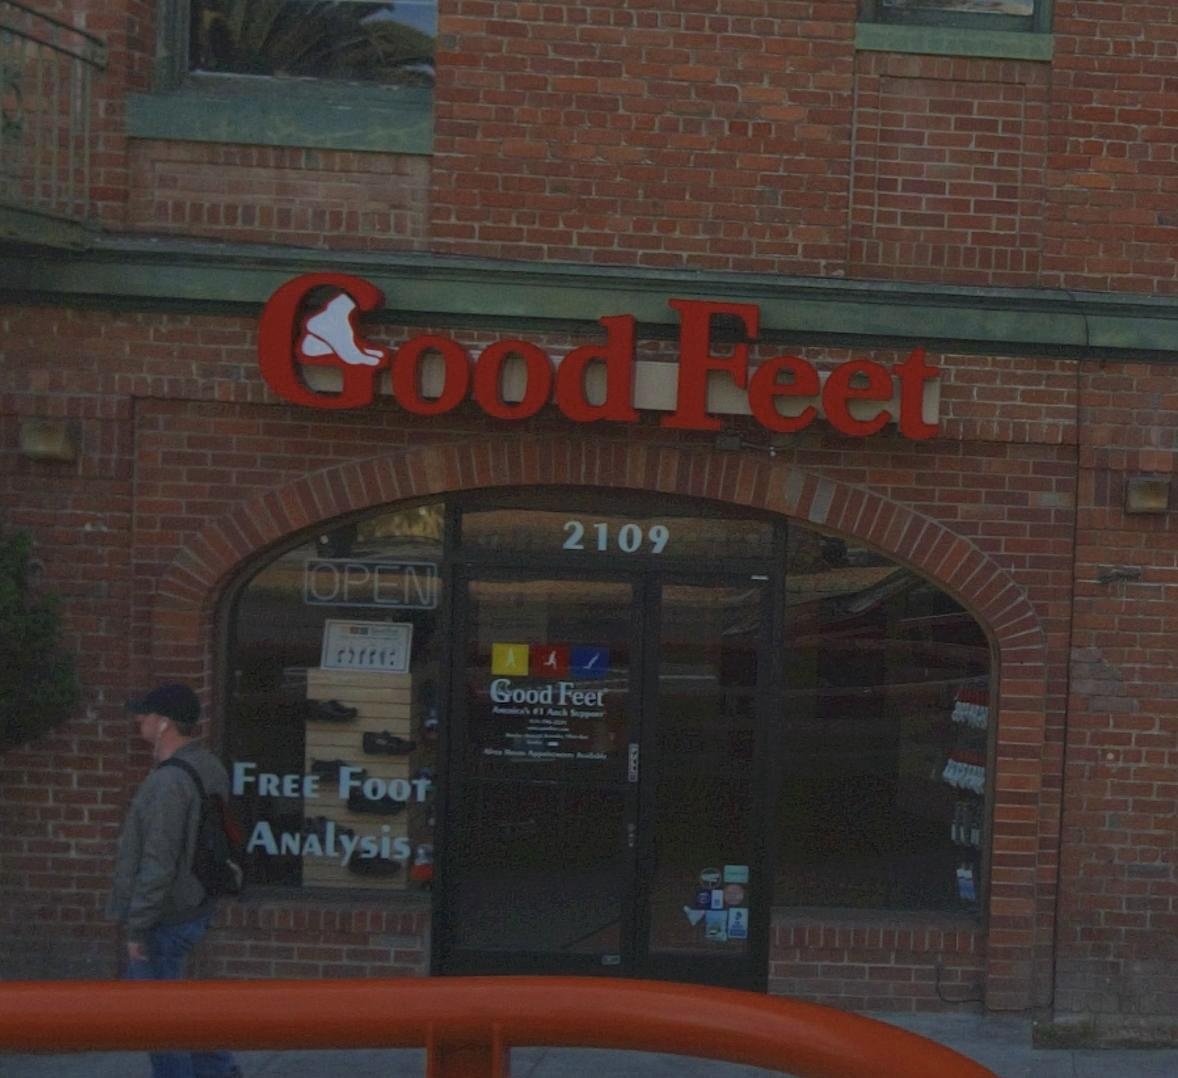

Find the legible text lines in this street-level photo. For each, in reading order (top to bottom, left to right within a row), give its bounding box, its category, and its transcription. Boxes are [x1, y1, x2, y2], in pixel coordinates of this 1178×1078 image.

[248, 261, 948, 451] BusinessName: Good Feet
[559, 517, 672, 558] StreetNumber: 2109
[306, 559, 435, 608] None: OPEN
[487, 673, 607, 710] BusinessName: Good Feet
[228, 755, 436, 807] None: FREE FOOT
[629, 746, 639, 774] None: PULL
[241, 815, 415, 870] None: ANALysis